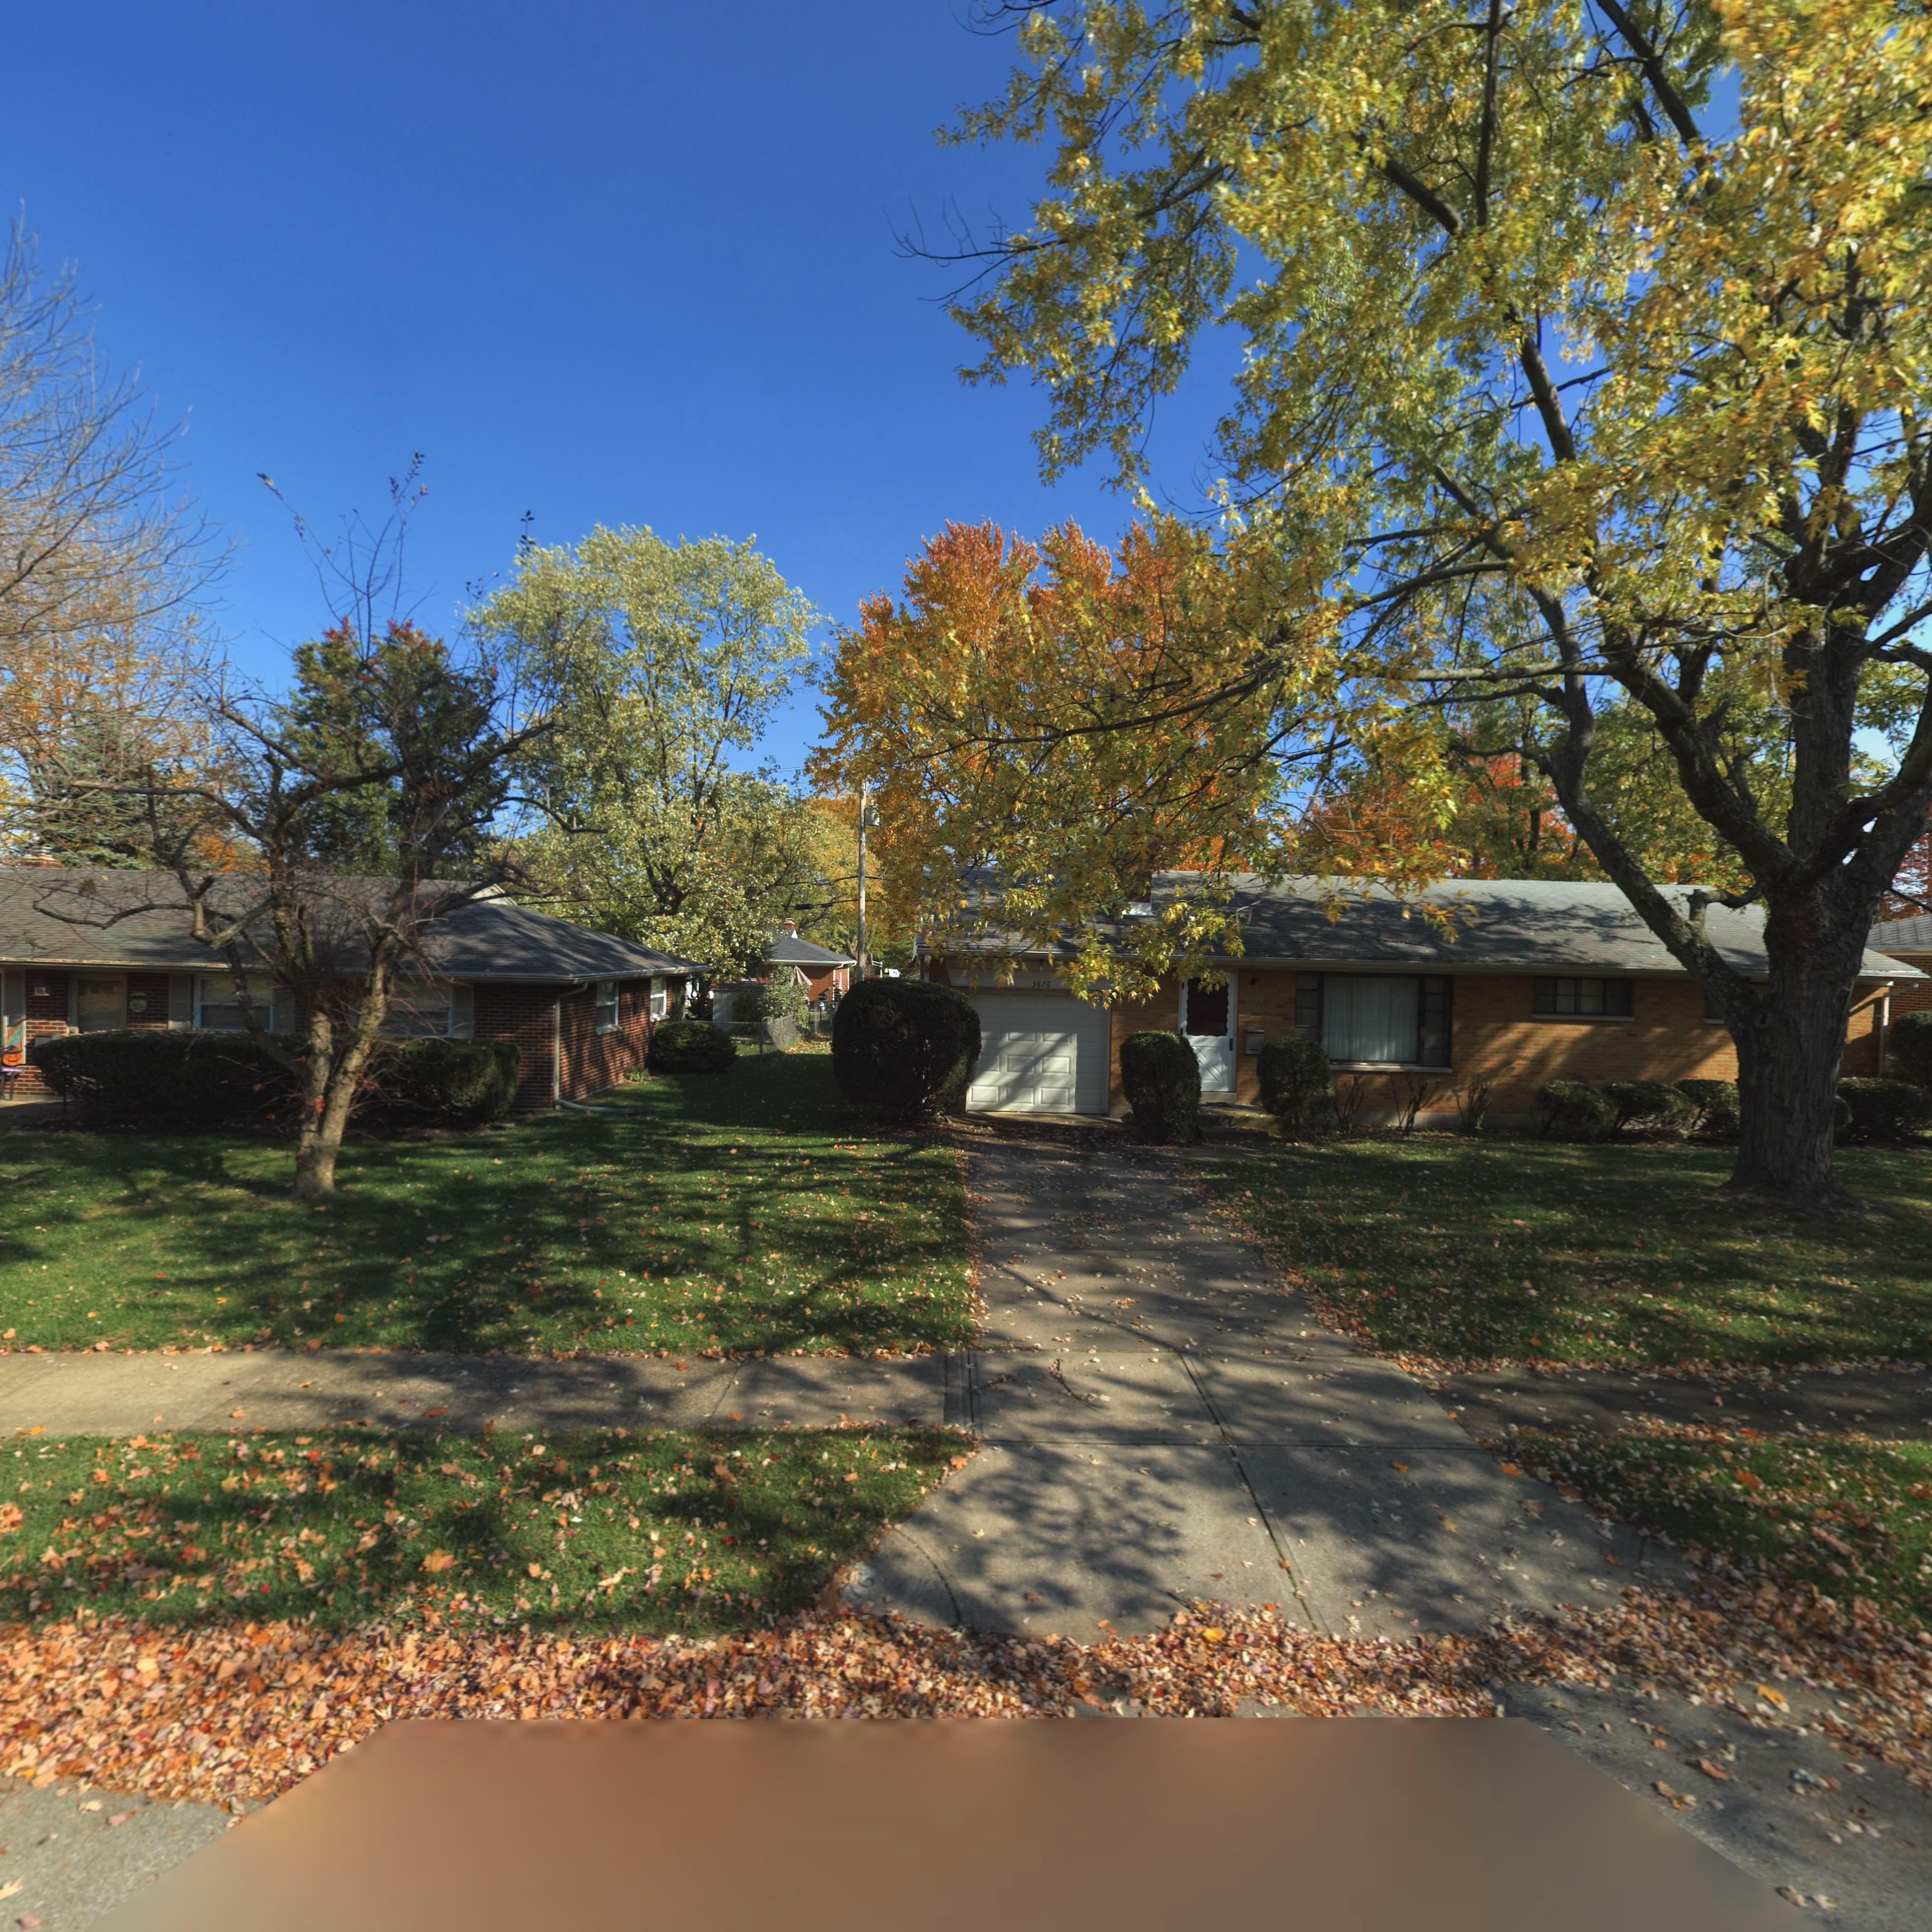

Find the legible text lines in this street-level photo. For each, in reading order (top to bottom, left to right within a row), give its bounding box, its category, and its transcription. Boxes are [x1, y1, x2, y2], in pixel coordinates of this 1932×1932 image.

[1031, 980, 1052, 989] StreetNumber: 3876